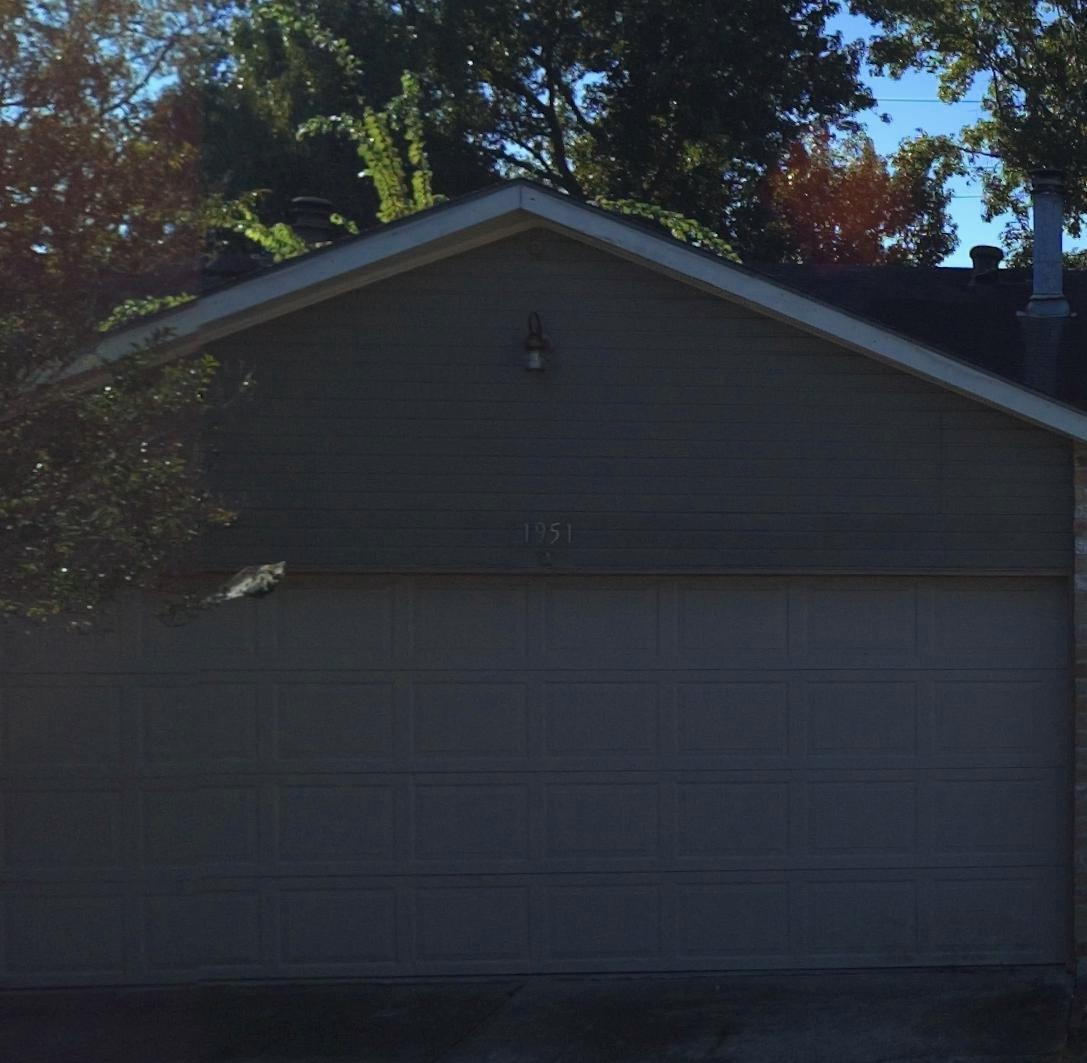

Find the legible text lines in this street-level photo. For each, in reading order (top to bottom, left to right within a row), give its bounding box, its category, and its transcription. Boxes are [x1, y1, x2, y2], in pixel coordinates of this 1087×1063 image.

[521, 519, 574, 547] StreetNumber: 1951